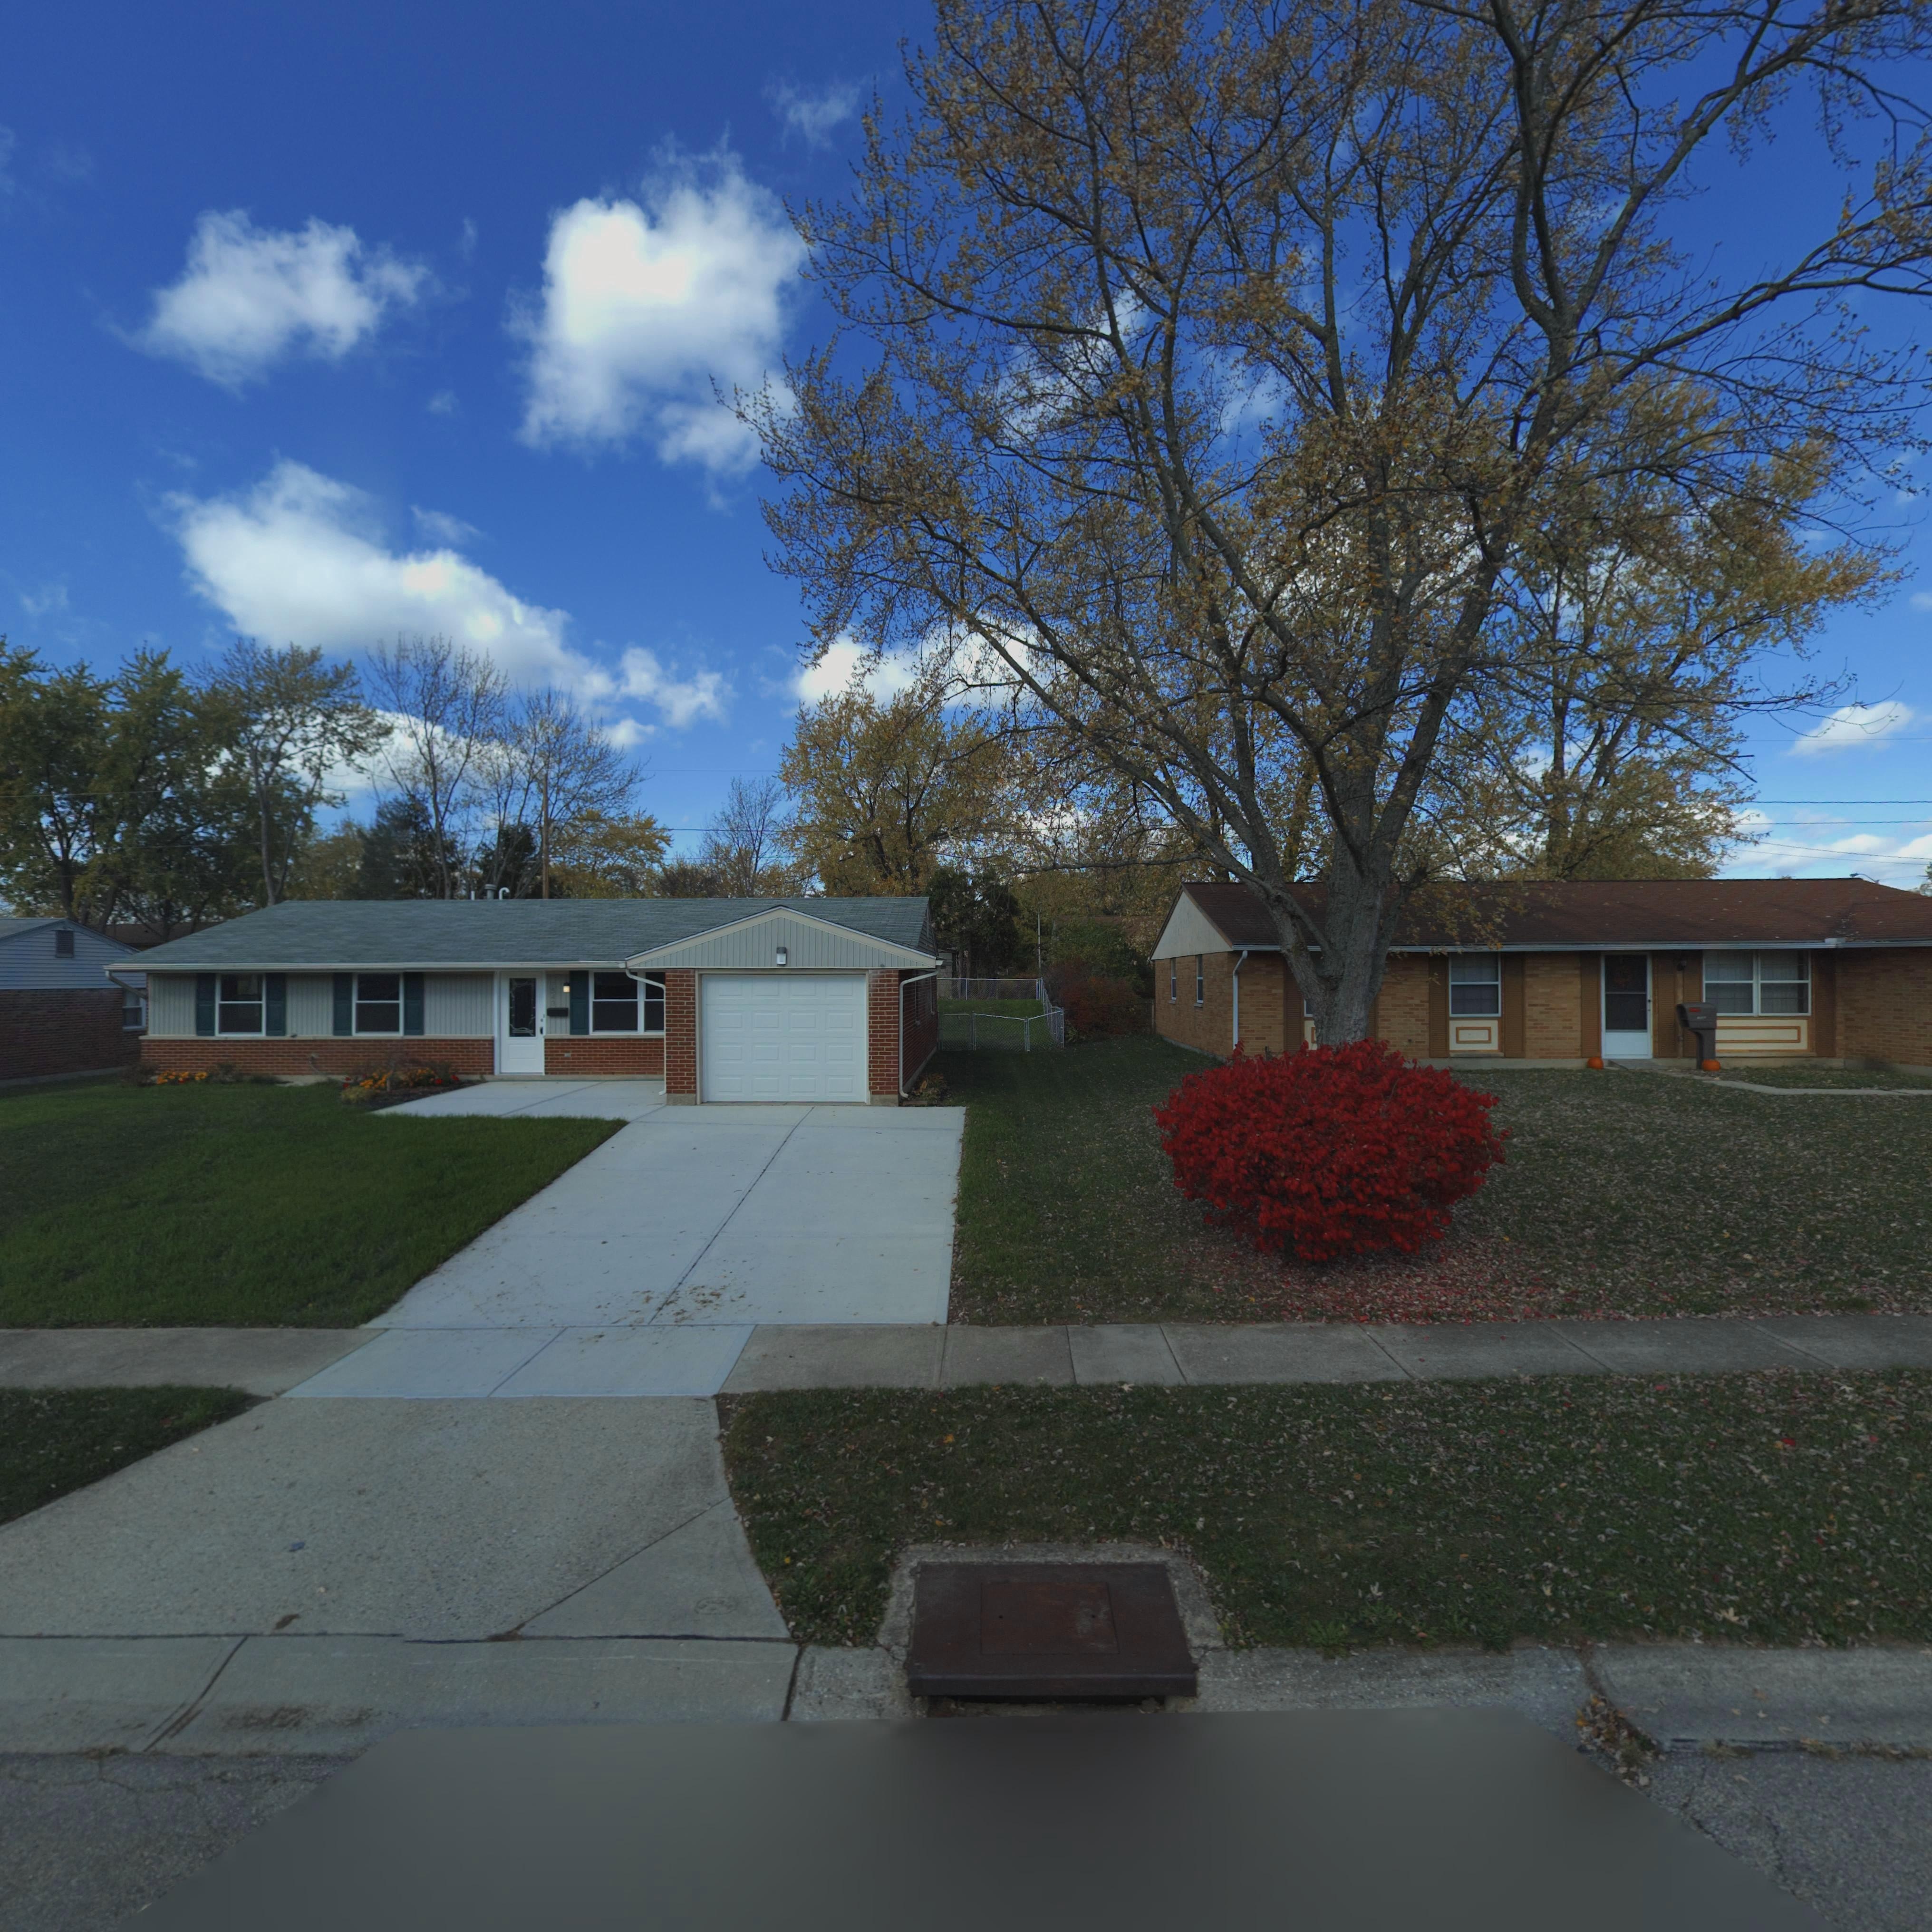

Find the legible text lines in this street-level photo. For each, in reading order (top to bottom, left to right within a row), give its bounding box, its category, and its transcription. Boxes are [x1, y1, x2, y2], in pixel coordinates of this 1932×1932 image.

[550, 981, 557, 1006] StreetNumber: 7543